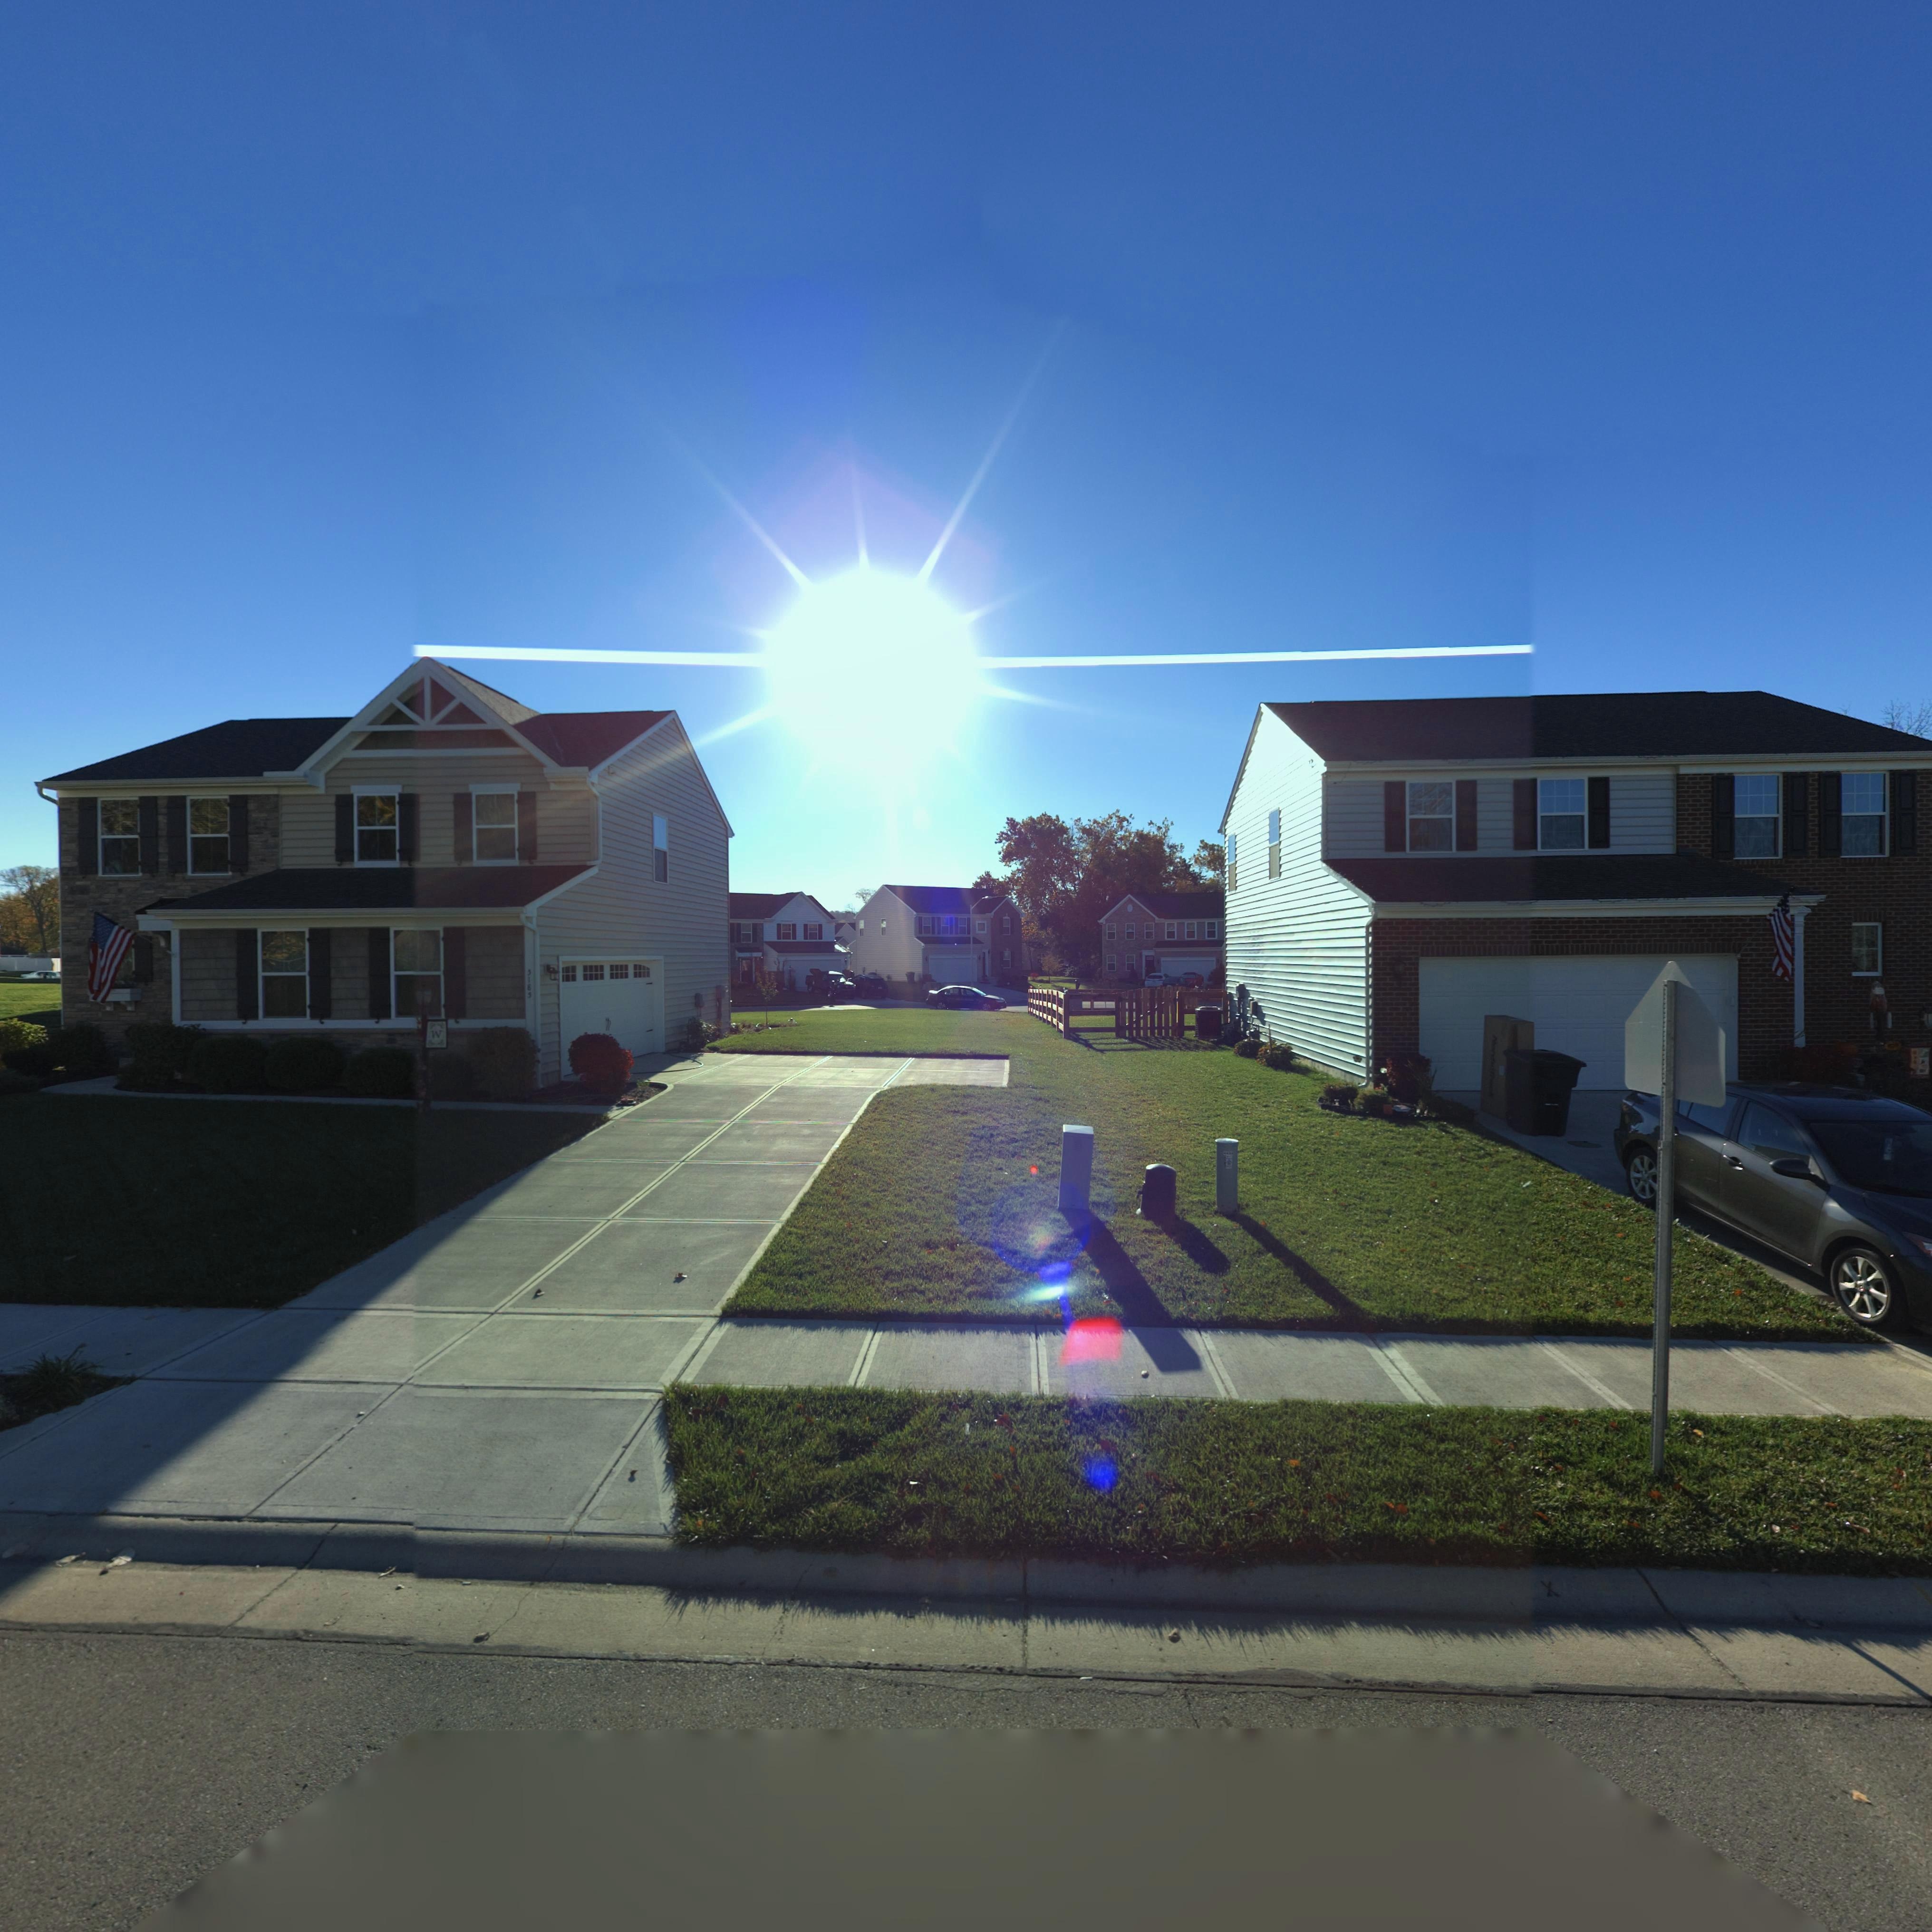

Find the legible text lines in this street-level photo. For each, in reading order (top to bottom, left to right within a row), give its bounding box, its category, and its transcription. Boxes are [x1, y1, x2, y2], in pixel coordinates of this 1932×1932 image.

[526, 968, 532, 999] StreetNumber: 5185